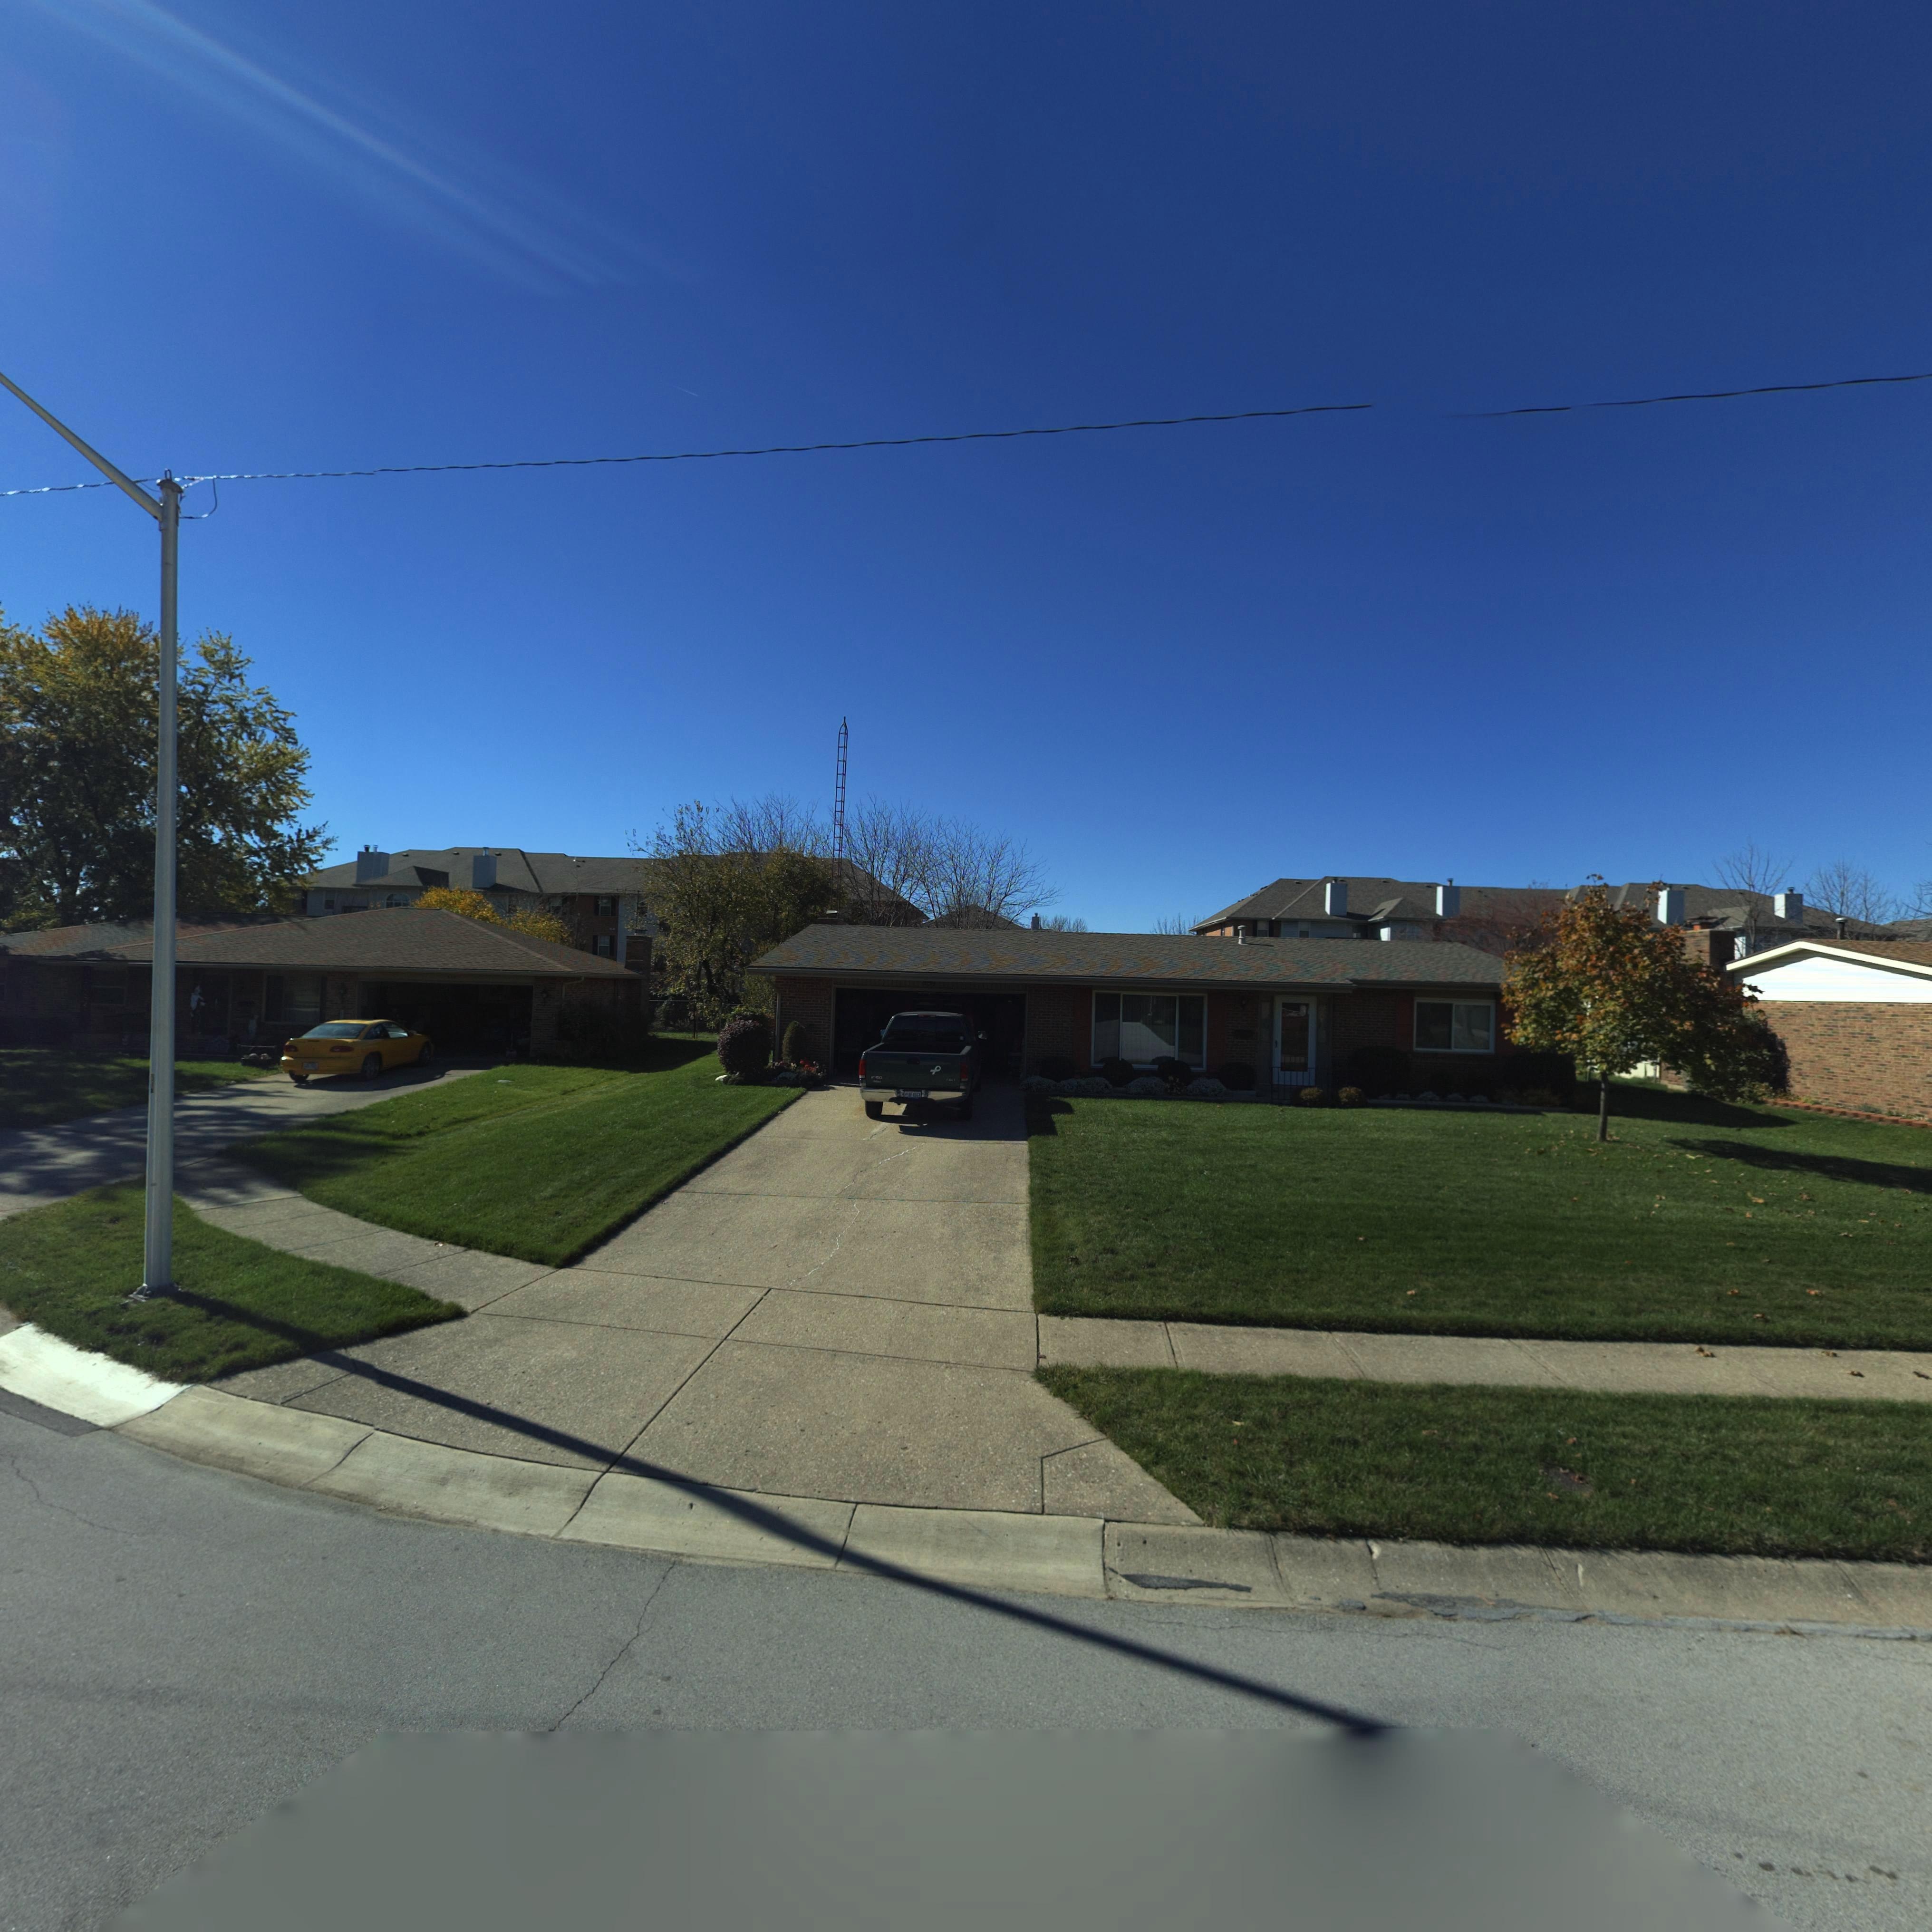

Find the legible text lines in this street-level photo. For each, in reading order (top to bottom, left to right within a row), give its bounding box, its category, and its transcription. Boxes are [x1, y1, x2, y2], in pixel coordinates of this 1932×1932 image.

[447, 975, 455, 980] StreetNumber: 71*
[931, 981, 936, 986] StreetNumber: 9